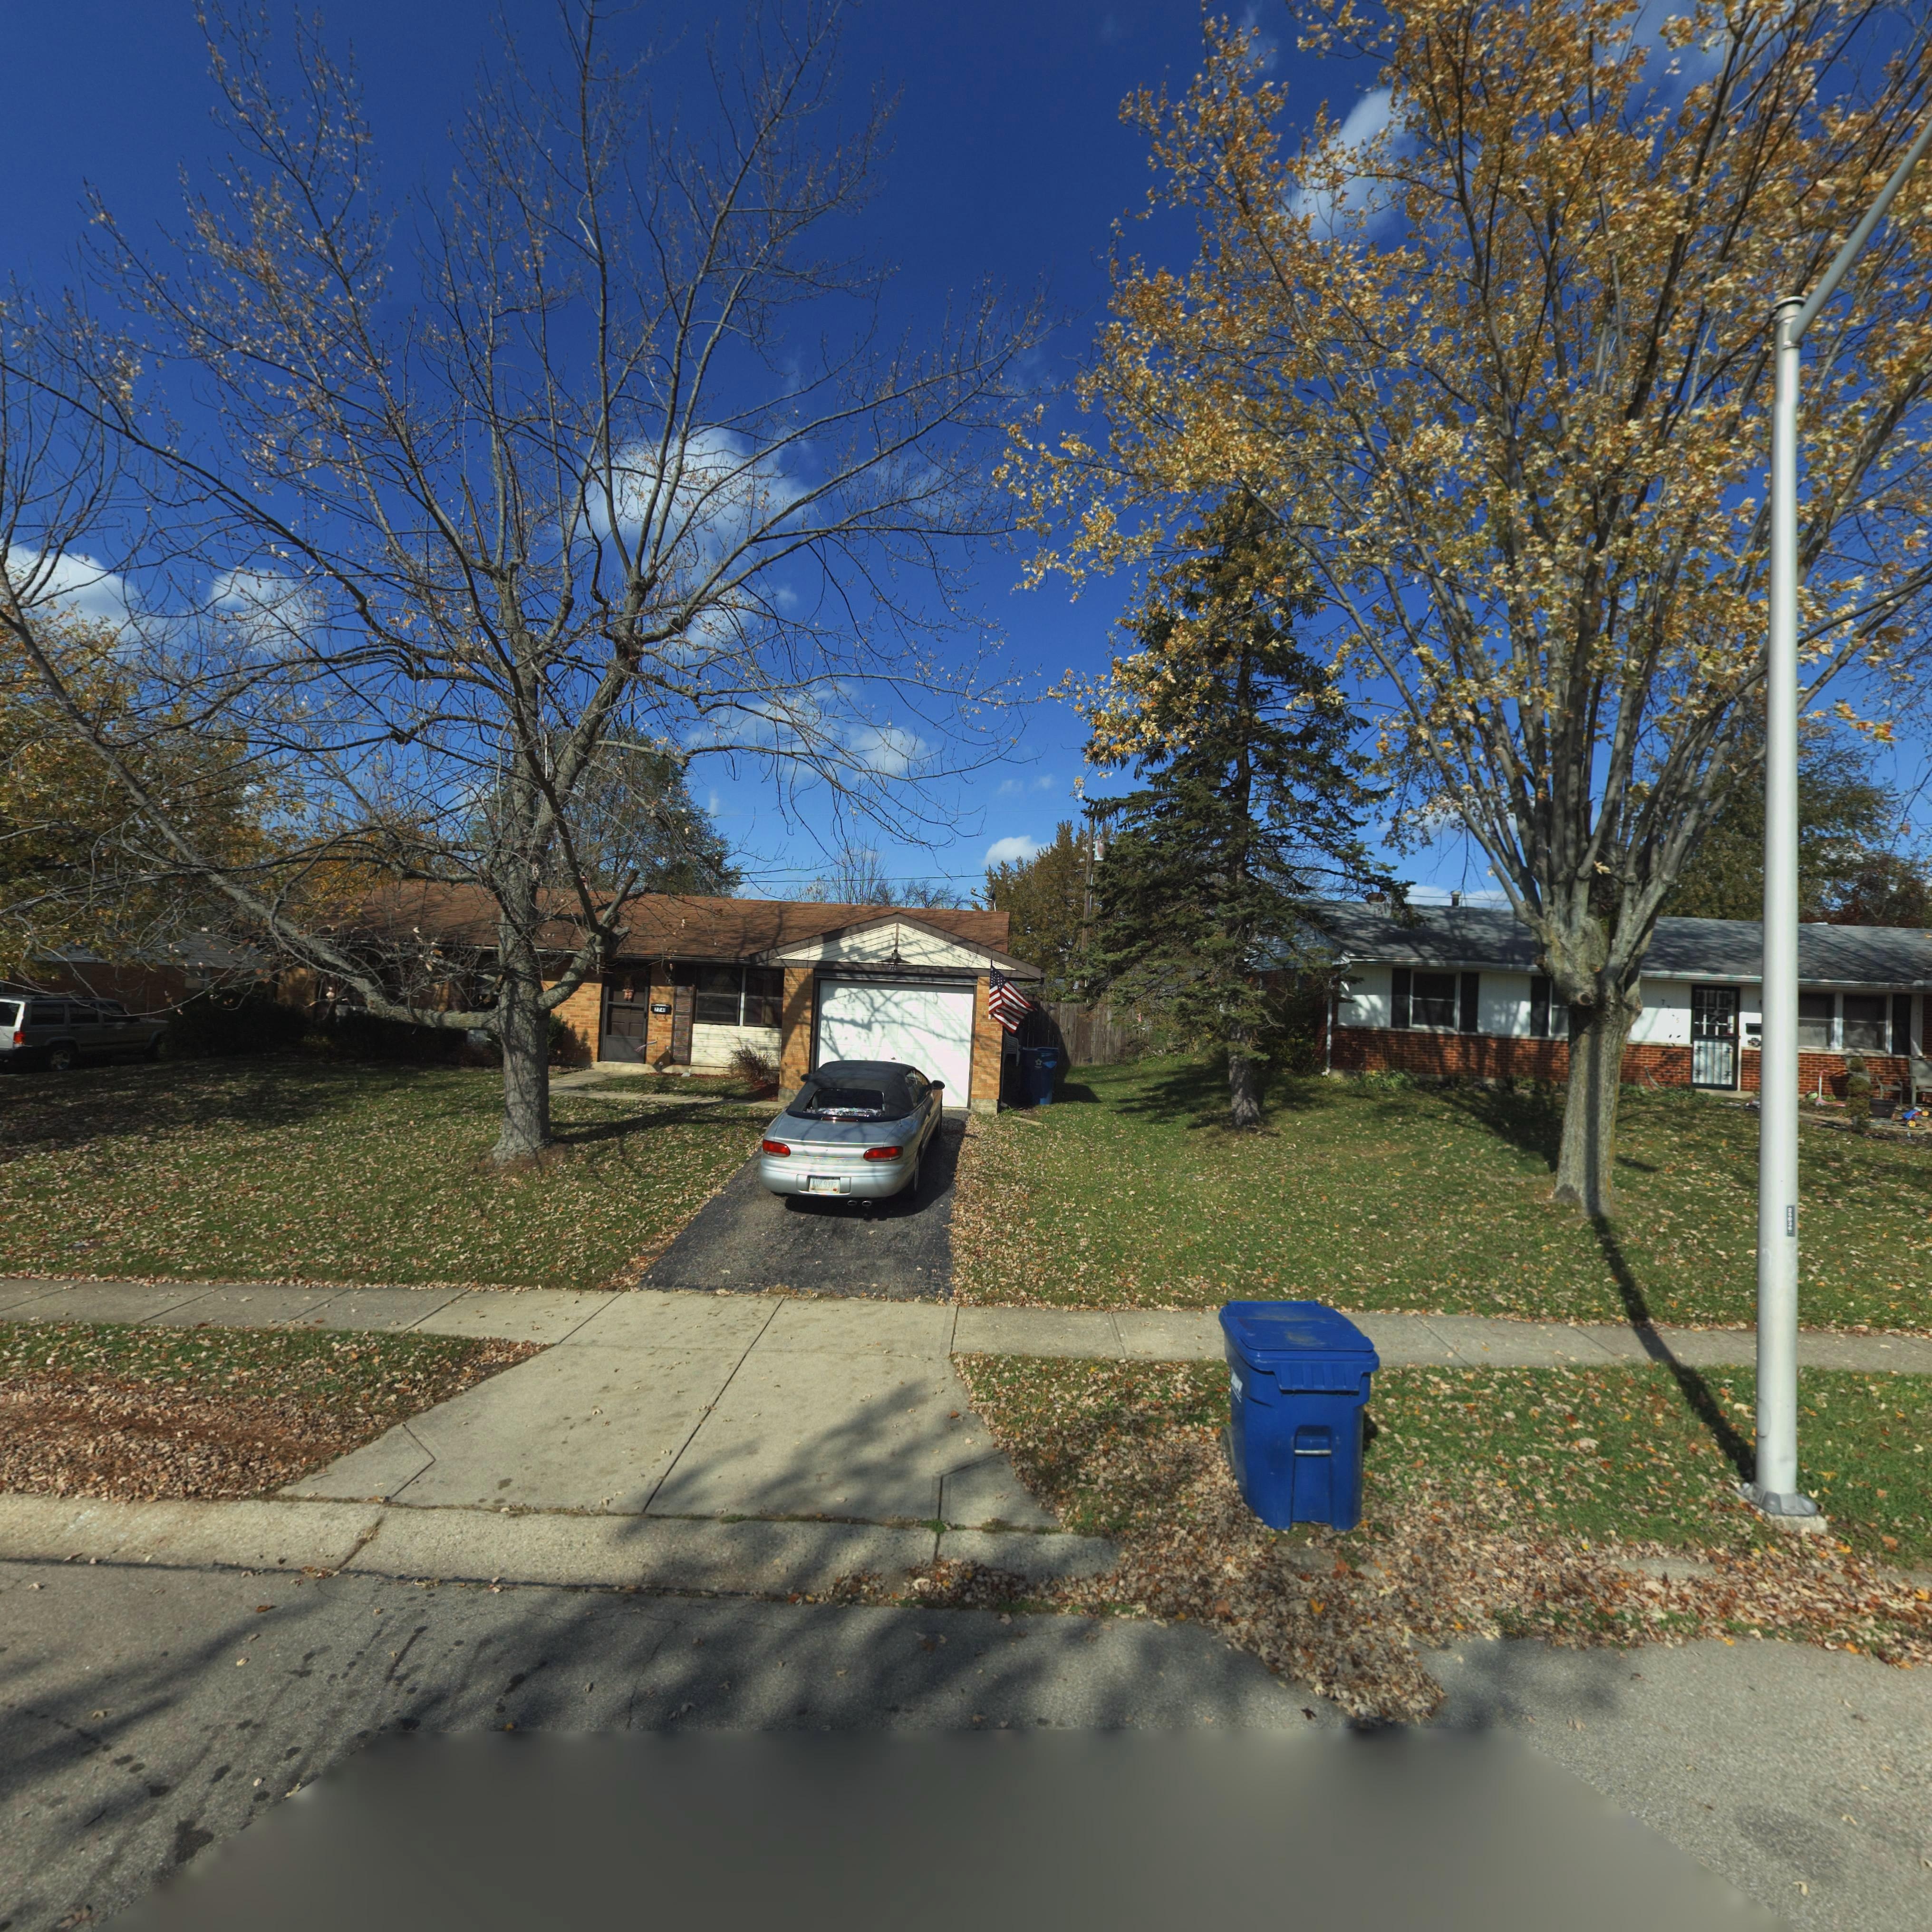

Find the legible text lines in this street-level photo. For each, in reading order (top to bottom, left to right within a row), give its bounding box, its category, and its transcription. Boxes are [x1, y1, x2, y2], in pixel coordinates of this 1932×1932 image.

[888, 965, 898, 971] StreetNumber: 7741
[655, 1007, 667, 1013] StreetNumber: 7741